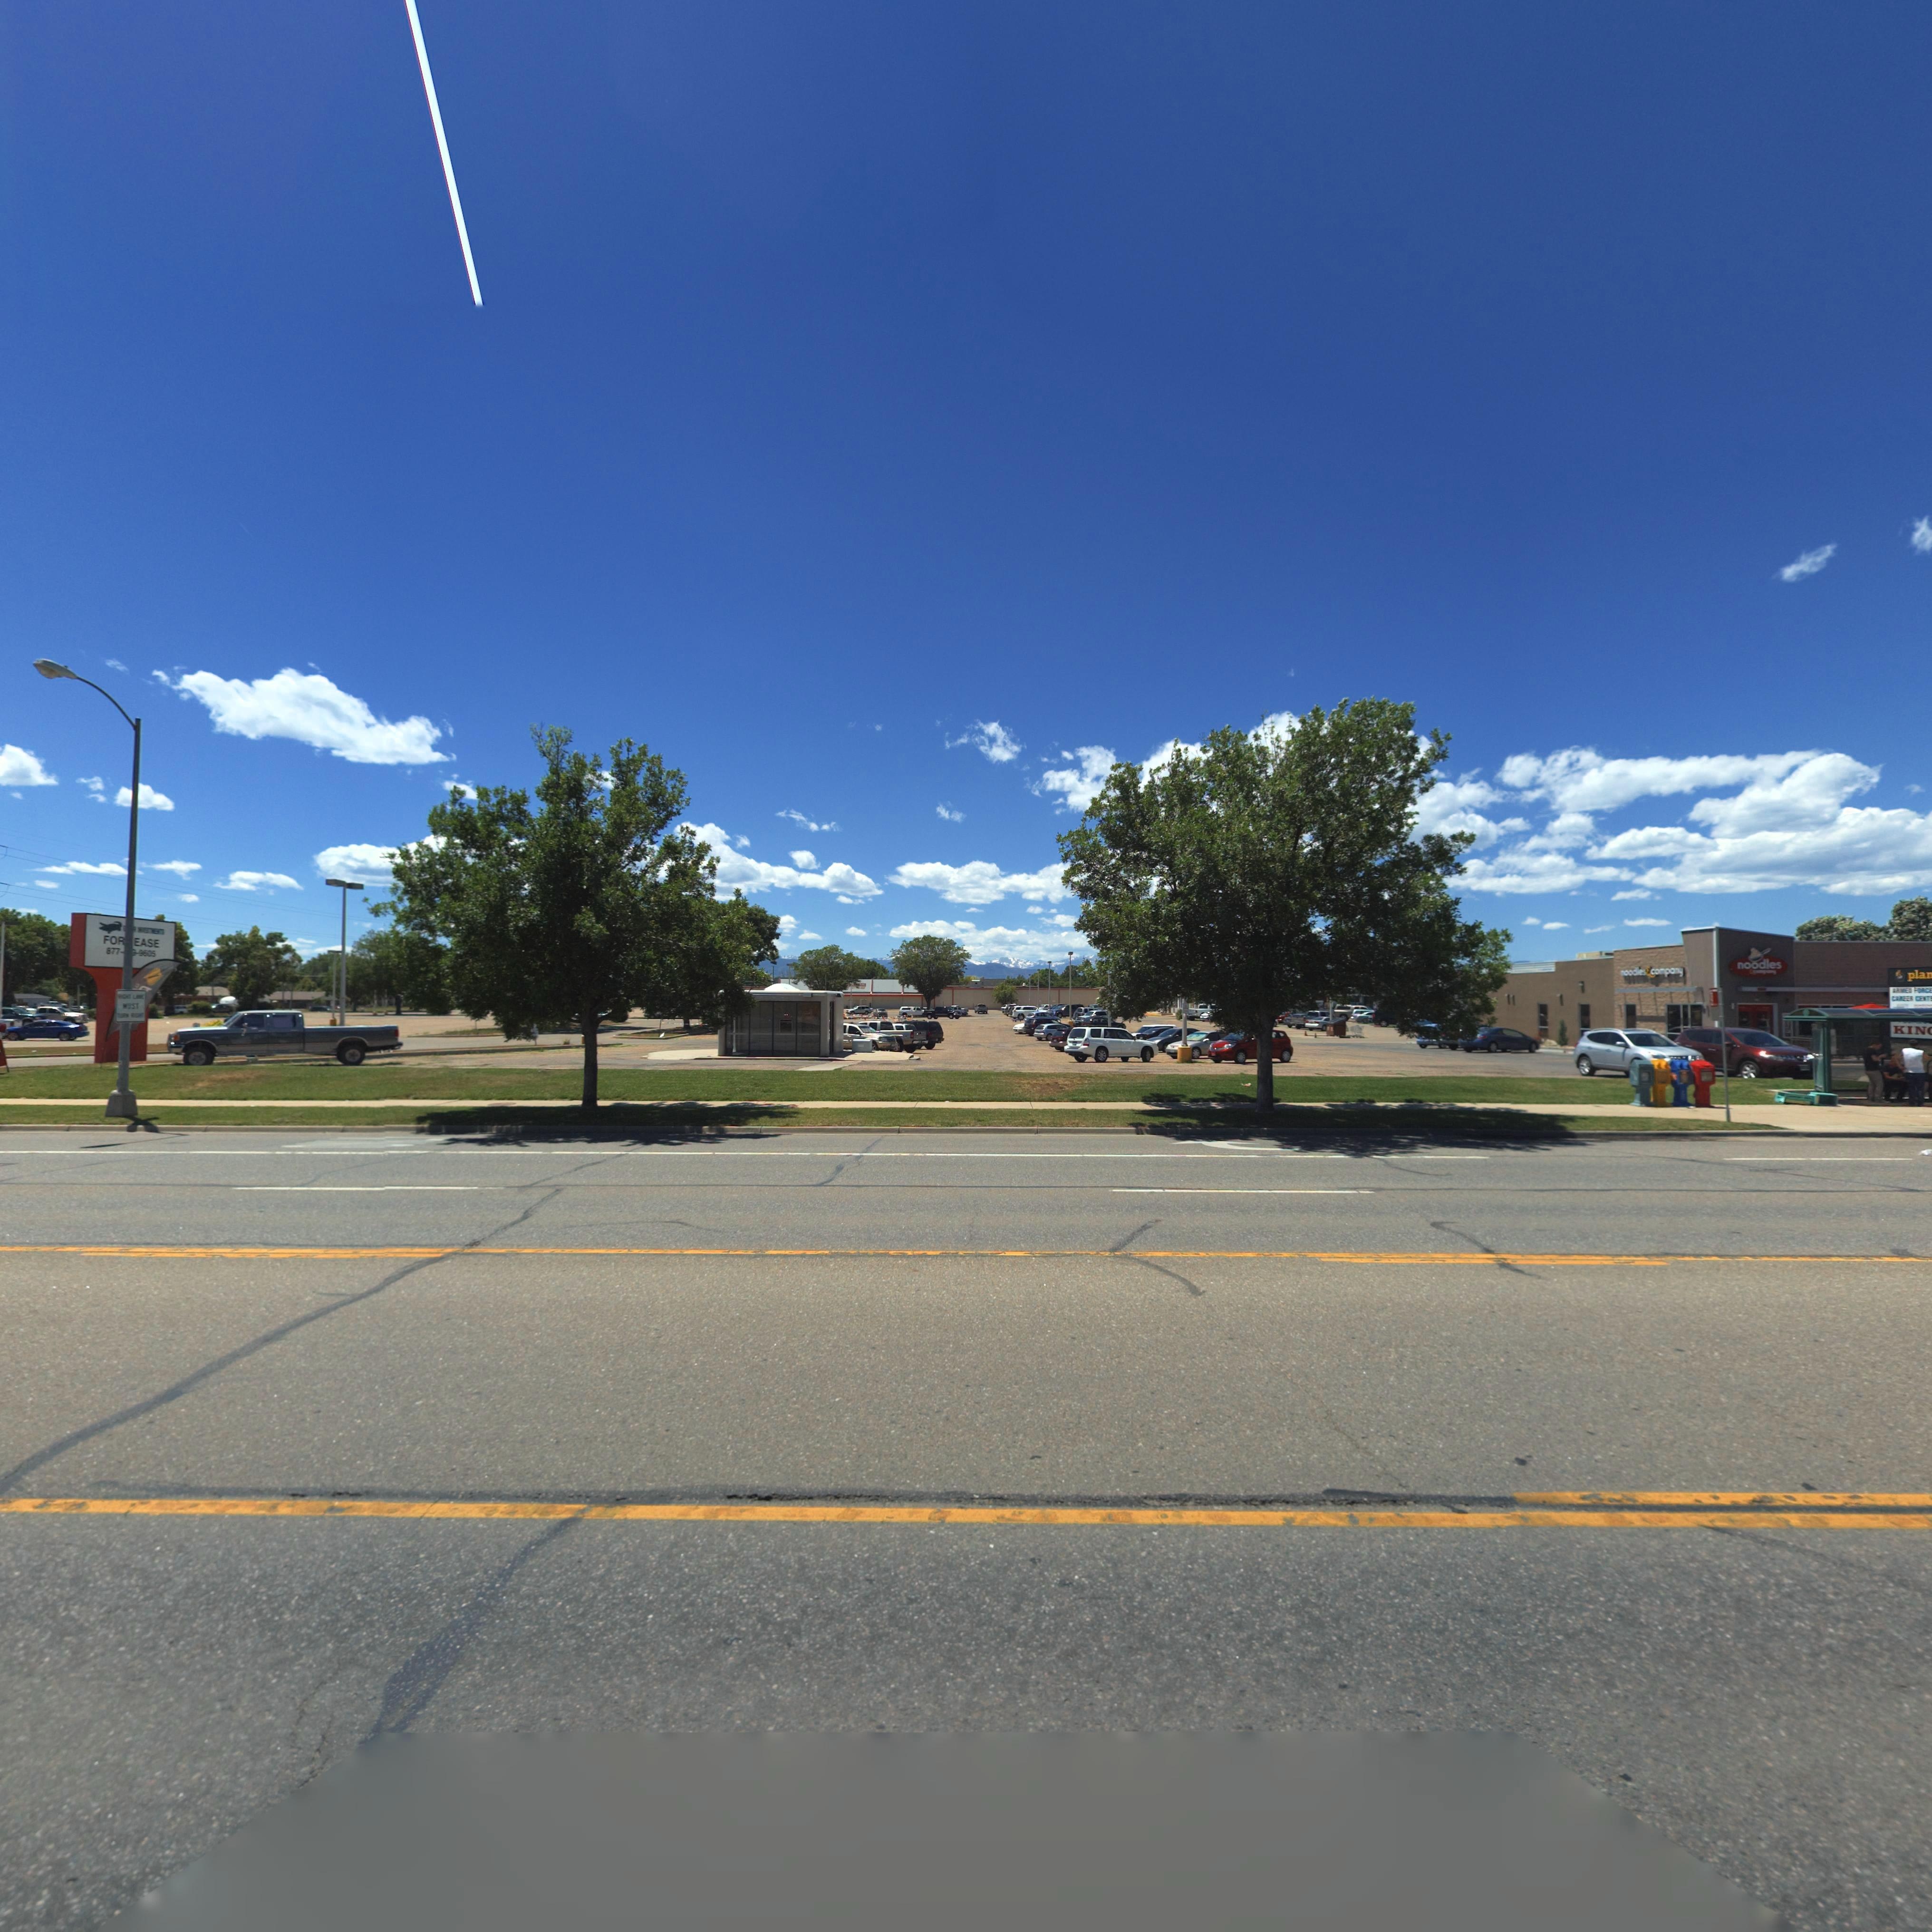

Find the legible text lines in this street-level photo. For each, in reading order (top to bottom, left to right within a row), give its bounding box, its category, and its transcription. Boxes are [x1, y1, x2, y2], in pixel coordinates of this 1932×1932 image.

[1736, 957, 1782, 969] BusinessName: noodles
[1620, 966, 1684, 977] BusinessName: *oodles & company
[1752, 969, 1777, 975] BusinessName: c*****y